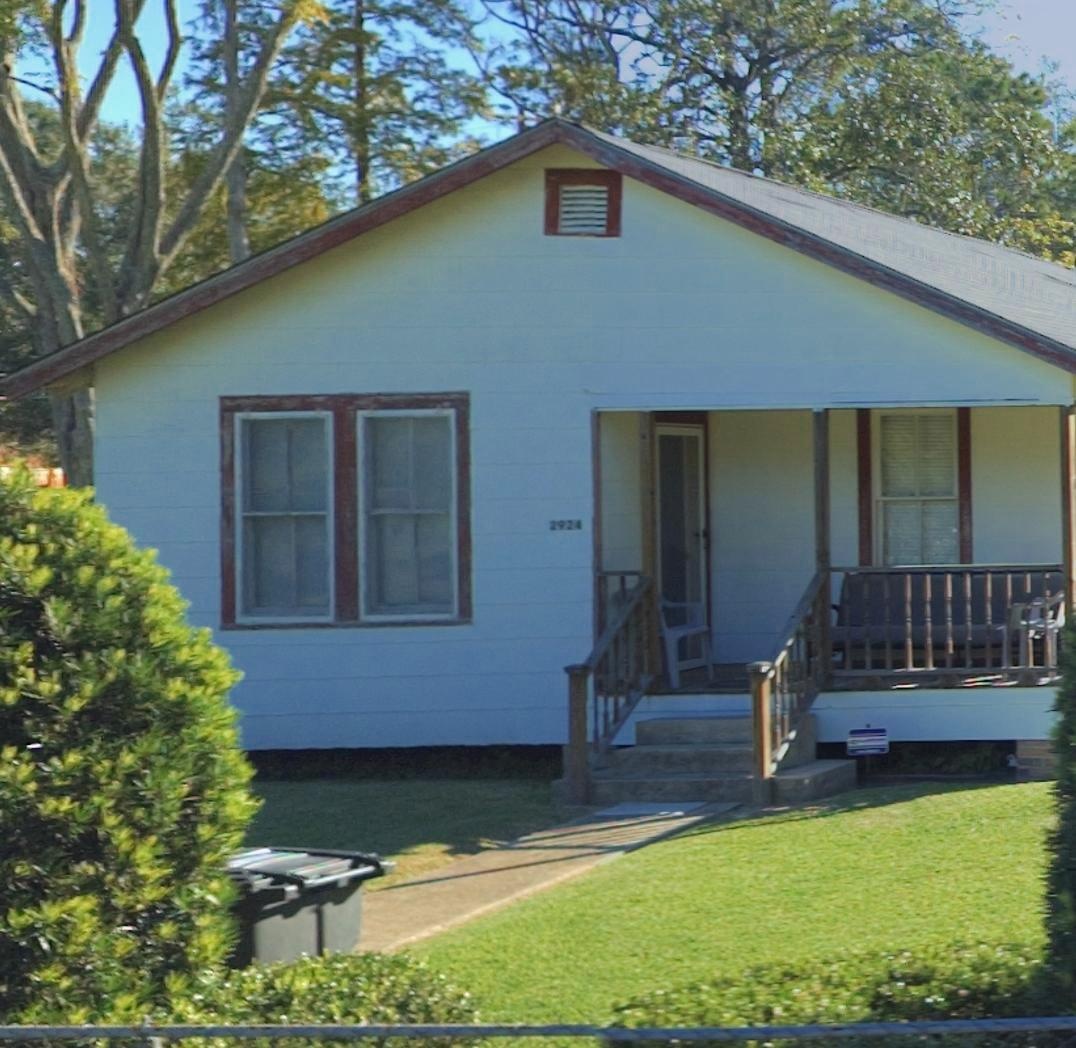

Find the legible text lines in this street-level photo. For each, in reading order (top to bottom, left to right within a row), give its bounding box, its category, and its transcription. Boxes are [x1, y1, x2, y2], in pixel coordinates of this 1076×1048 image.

[546, 517, 585, 533] StreetNumber: 2924